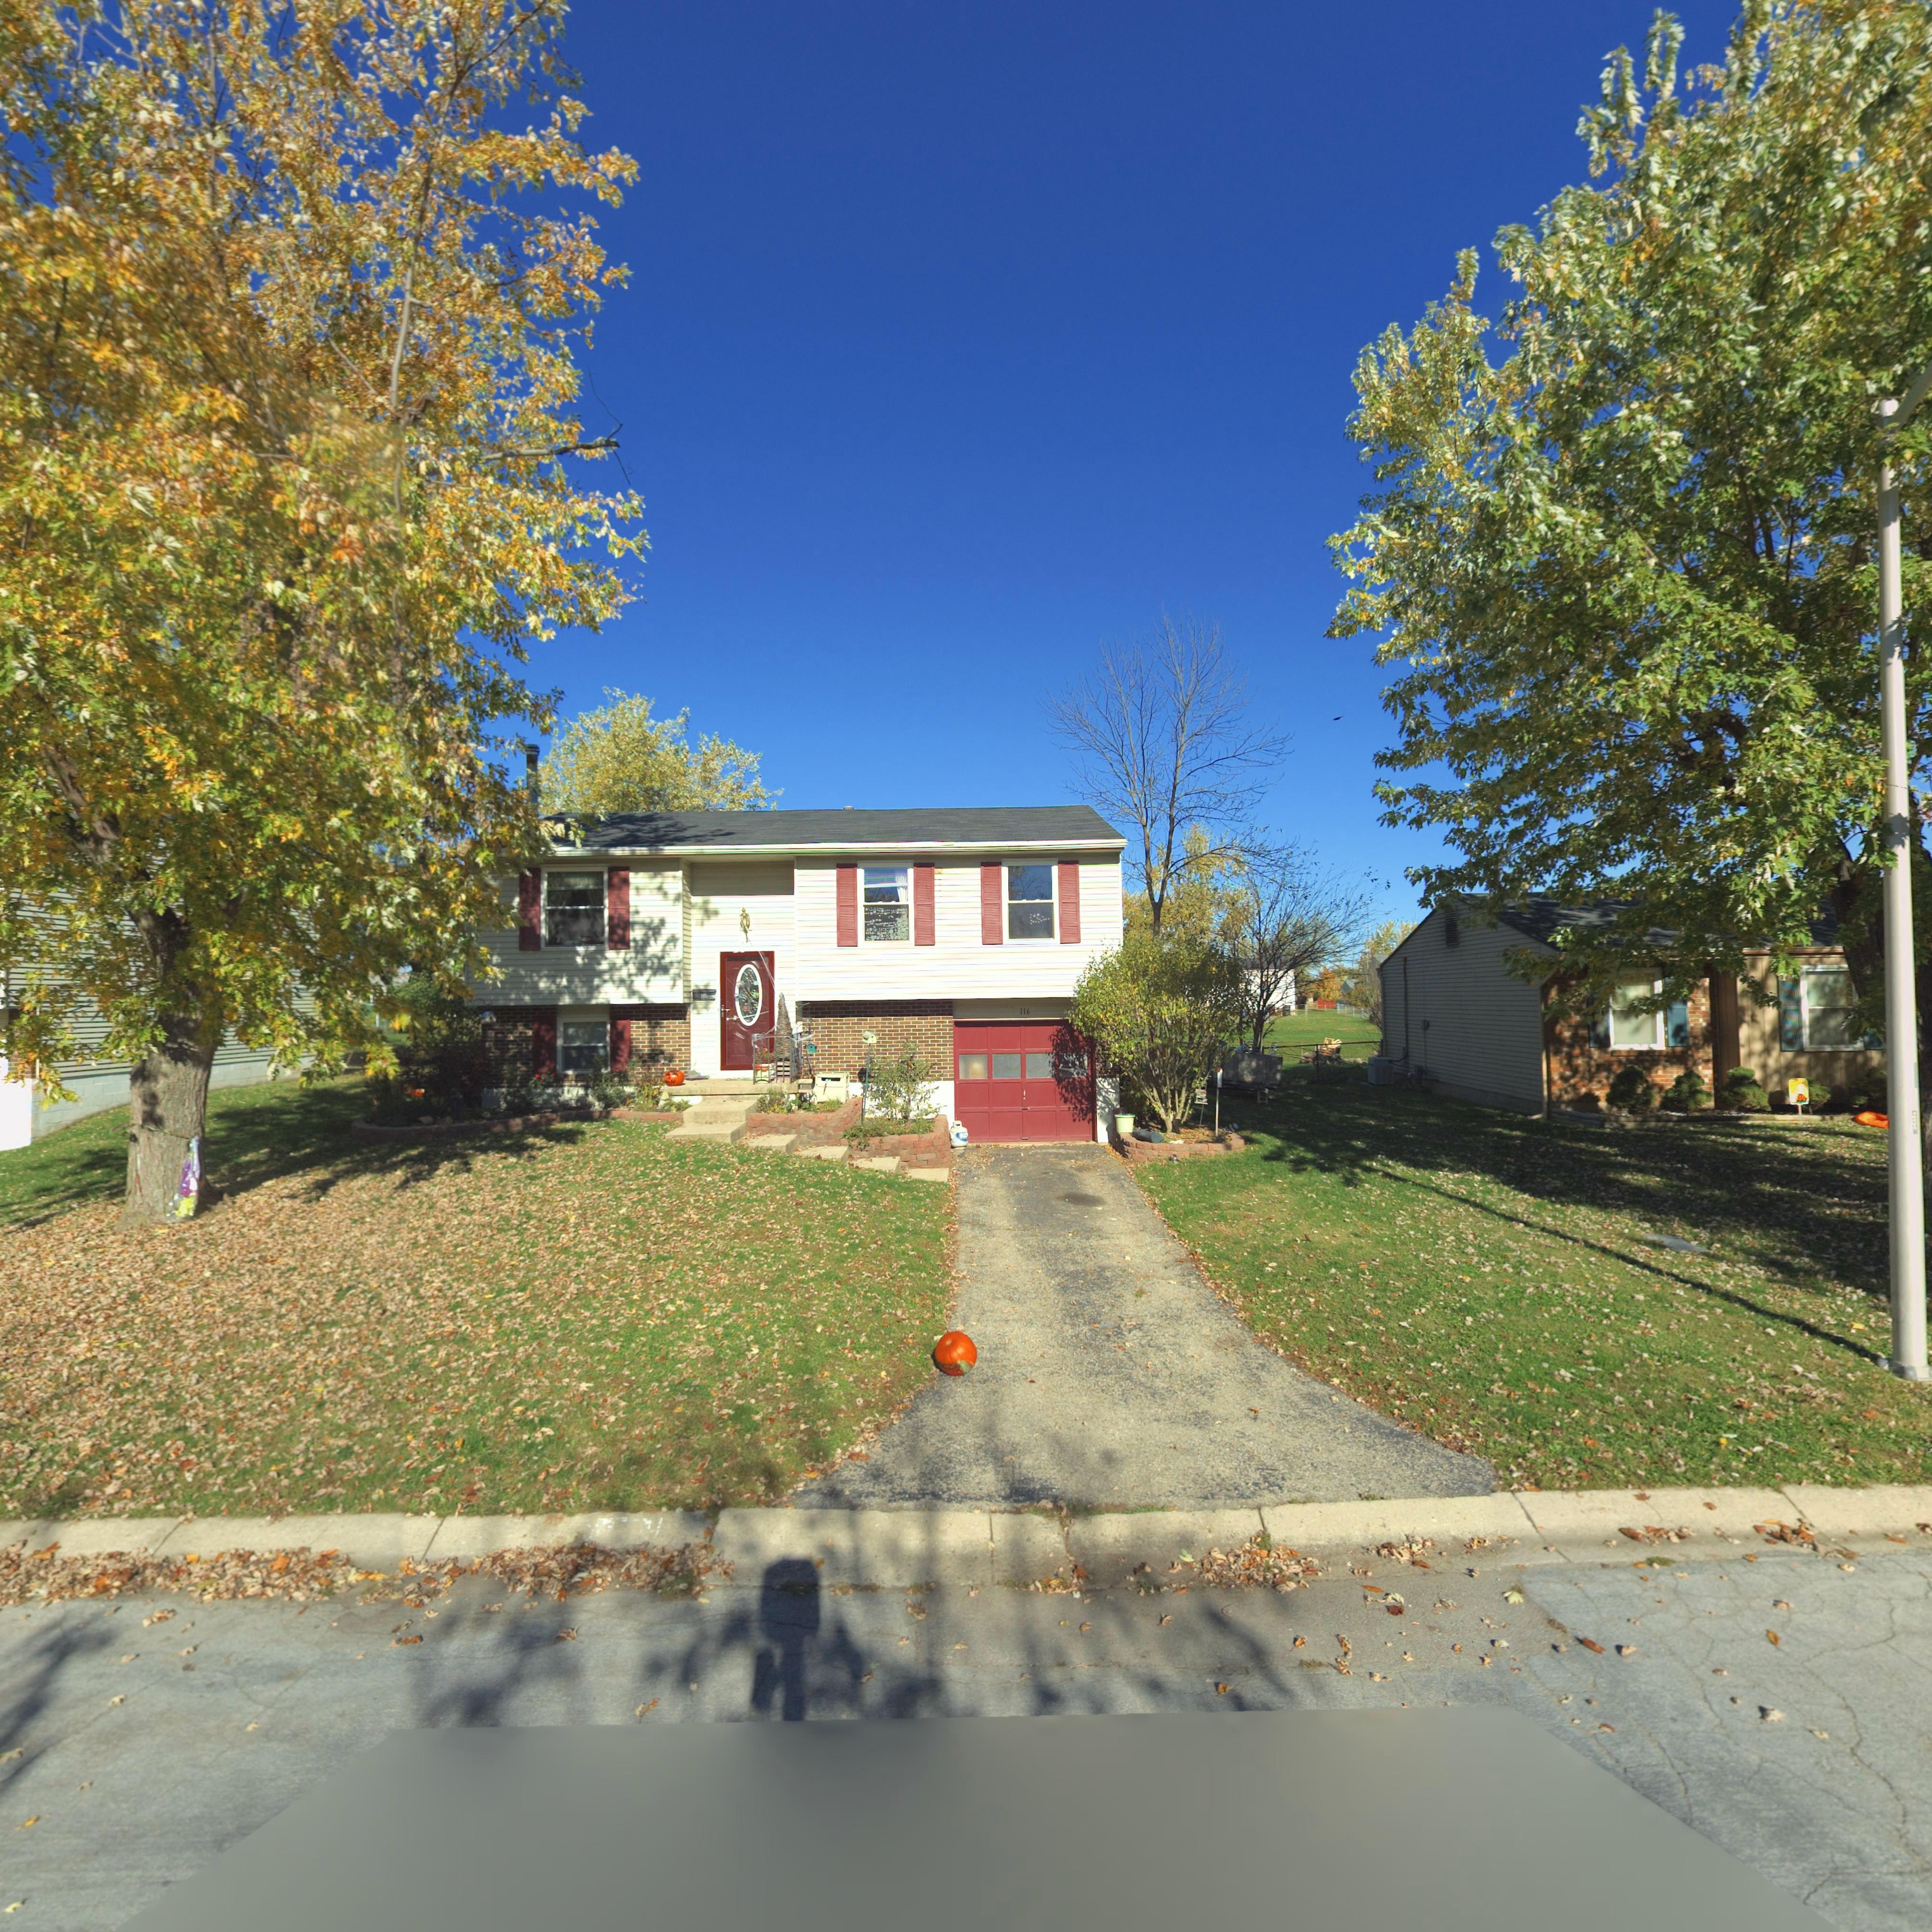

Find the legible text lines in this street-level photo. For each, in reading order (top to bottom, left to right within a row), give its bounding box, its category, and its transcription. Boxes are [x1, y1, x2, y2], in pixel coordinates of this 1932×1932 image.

[1019, 1007, 1031, 1015] StreetNumber: 116